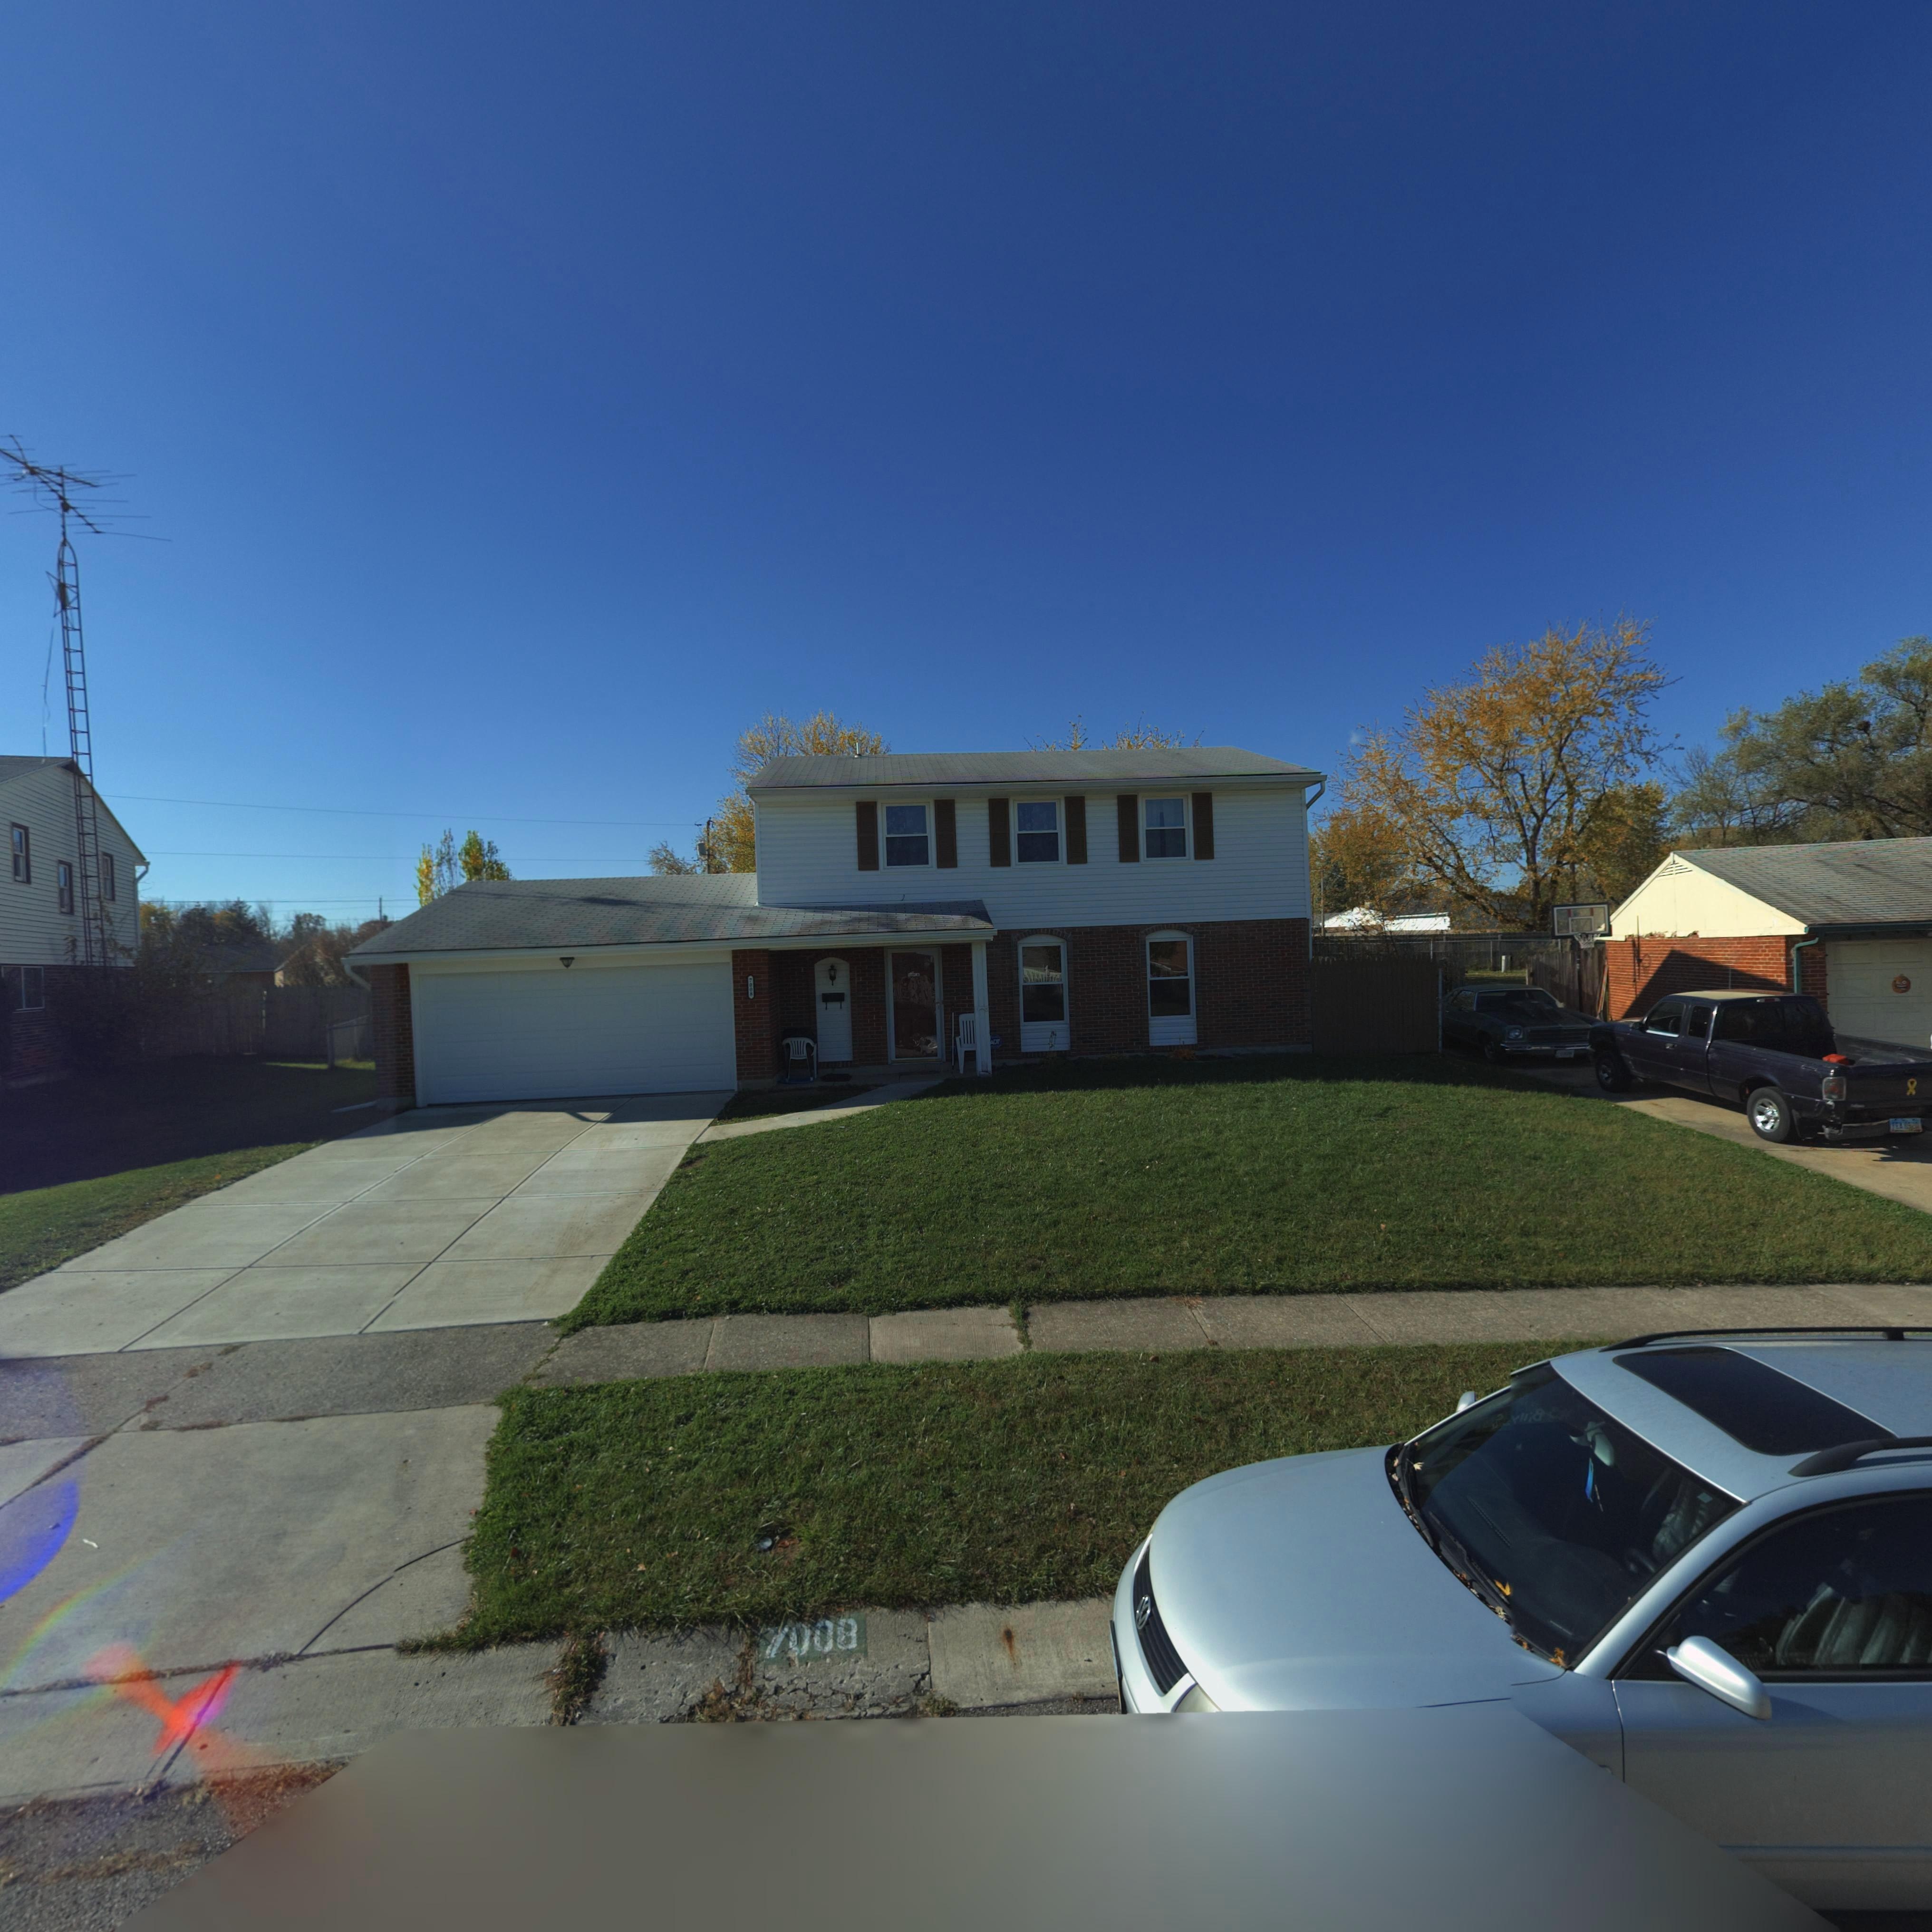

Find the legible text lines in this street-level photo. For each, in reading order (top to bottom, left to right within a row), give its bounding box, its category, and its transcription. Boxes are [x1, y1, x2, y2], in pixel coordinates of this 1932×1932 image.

[748, 977, 753, 996] StreetNumber: 7008
[762, 1617, 860, 1661] StreetNumber: 7008